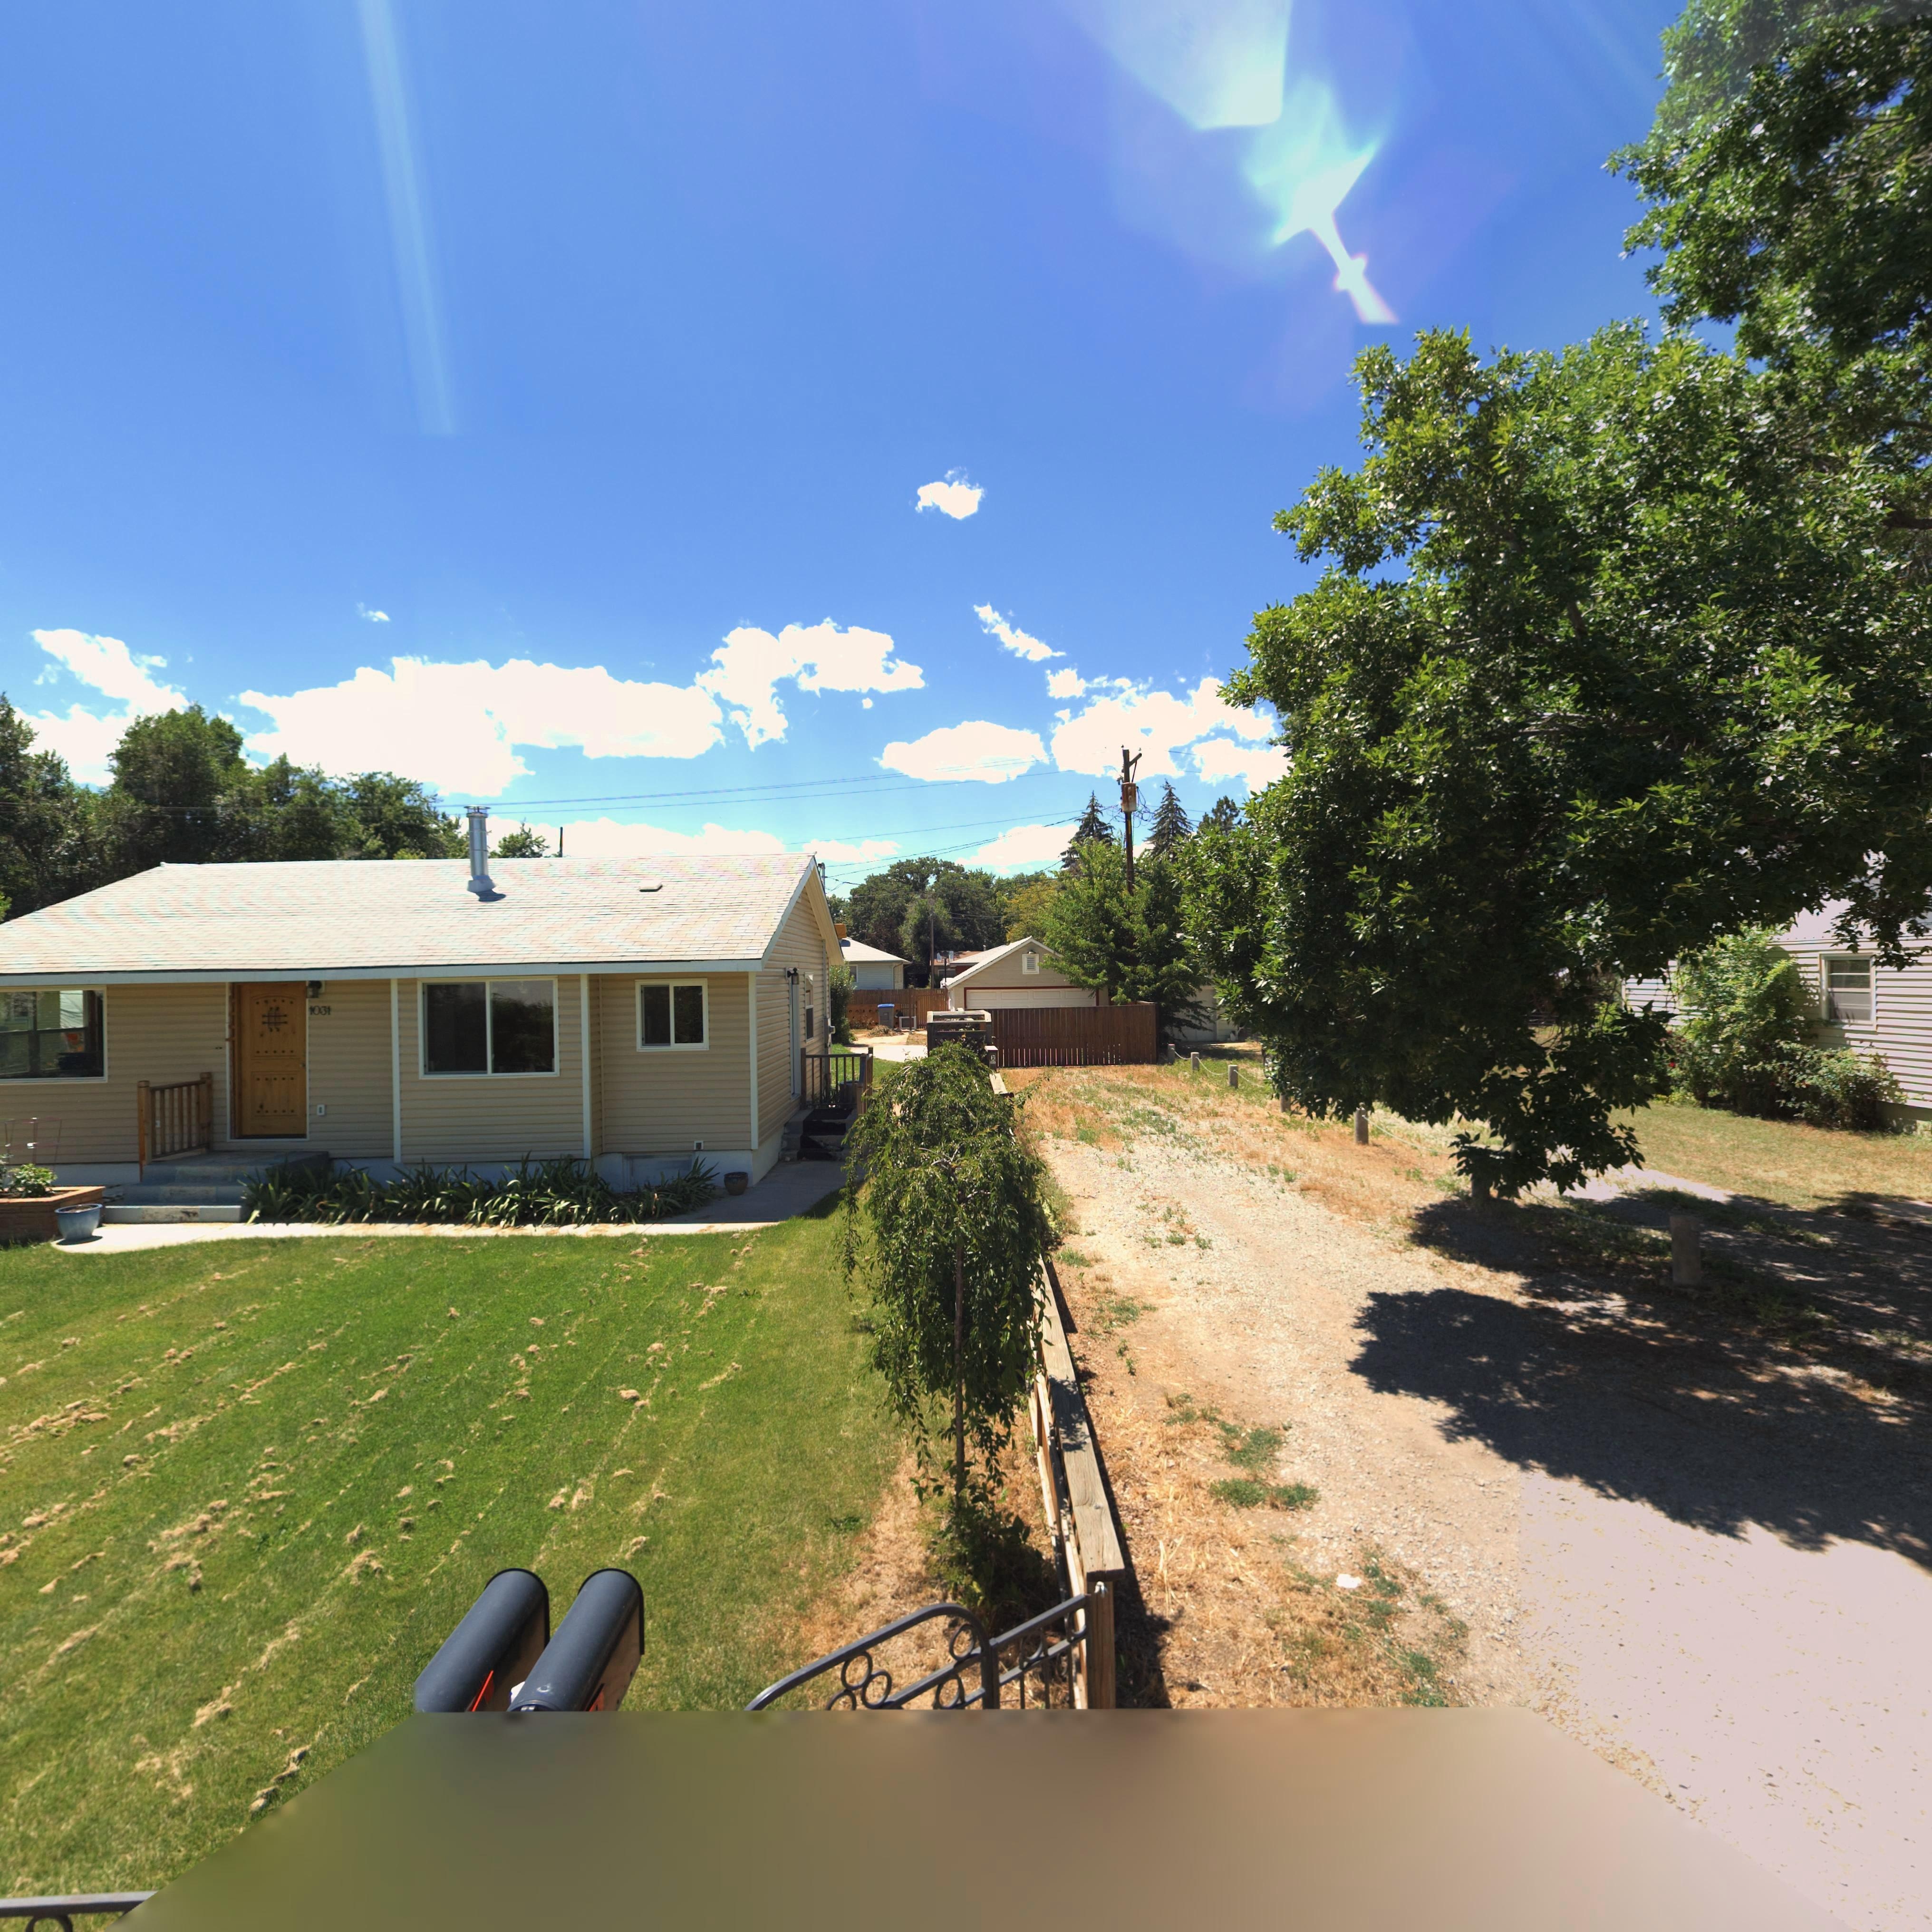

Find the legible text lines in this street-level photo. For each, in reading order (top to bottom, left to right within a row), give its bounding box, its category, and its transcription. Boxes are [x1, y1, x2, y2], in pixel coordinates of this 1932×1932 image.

[309, 1005, 331, 1015] StreetNumber: 1031